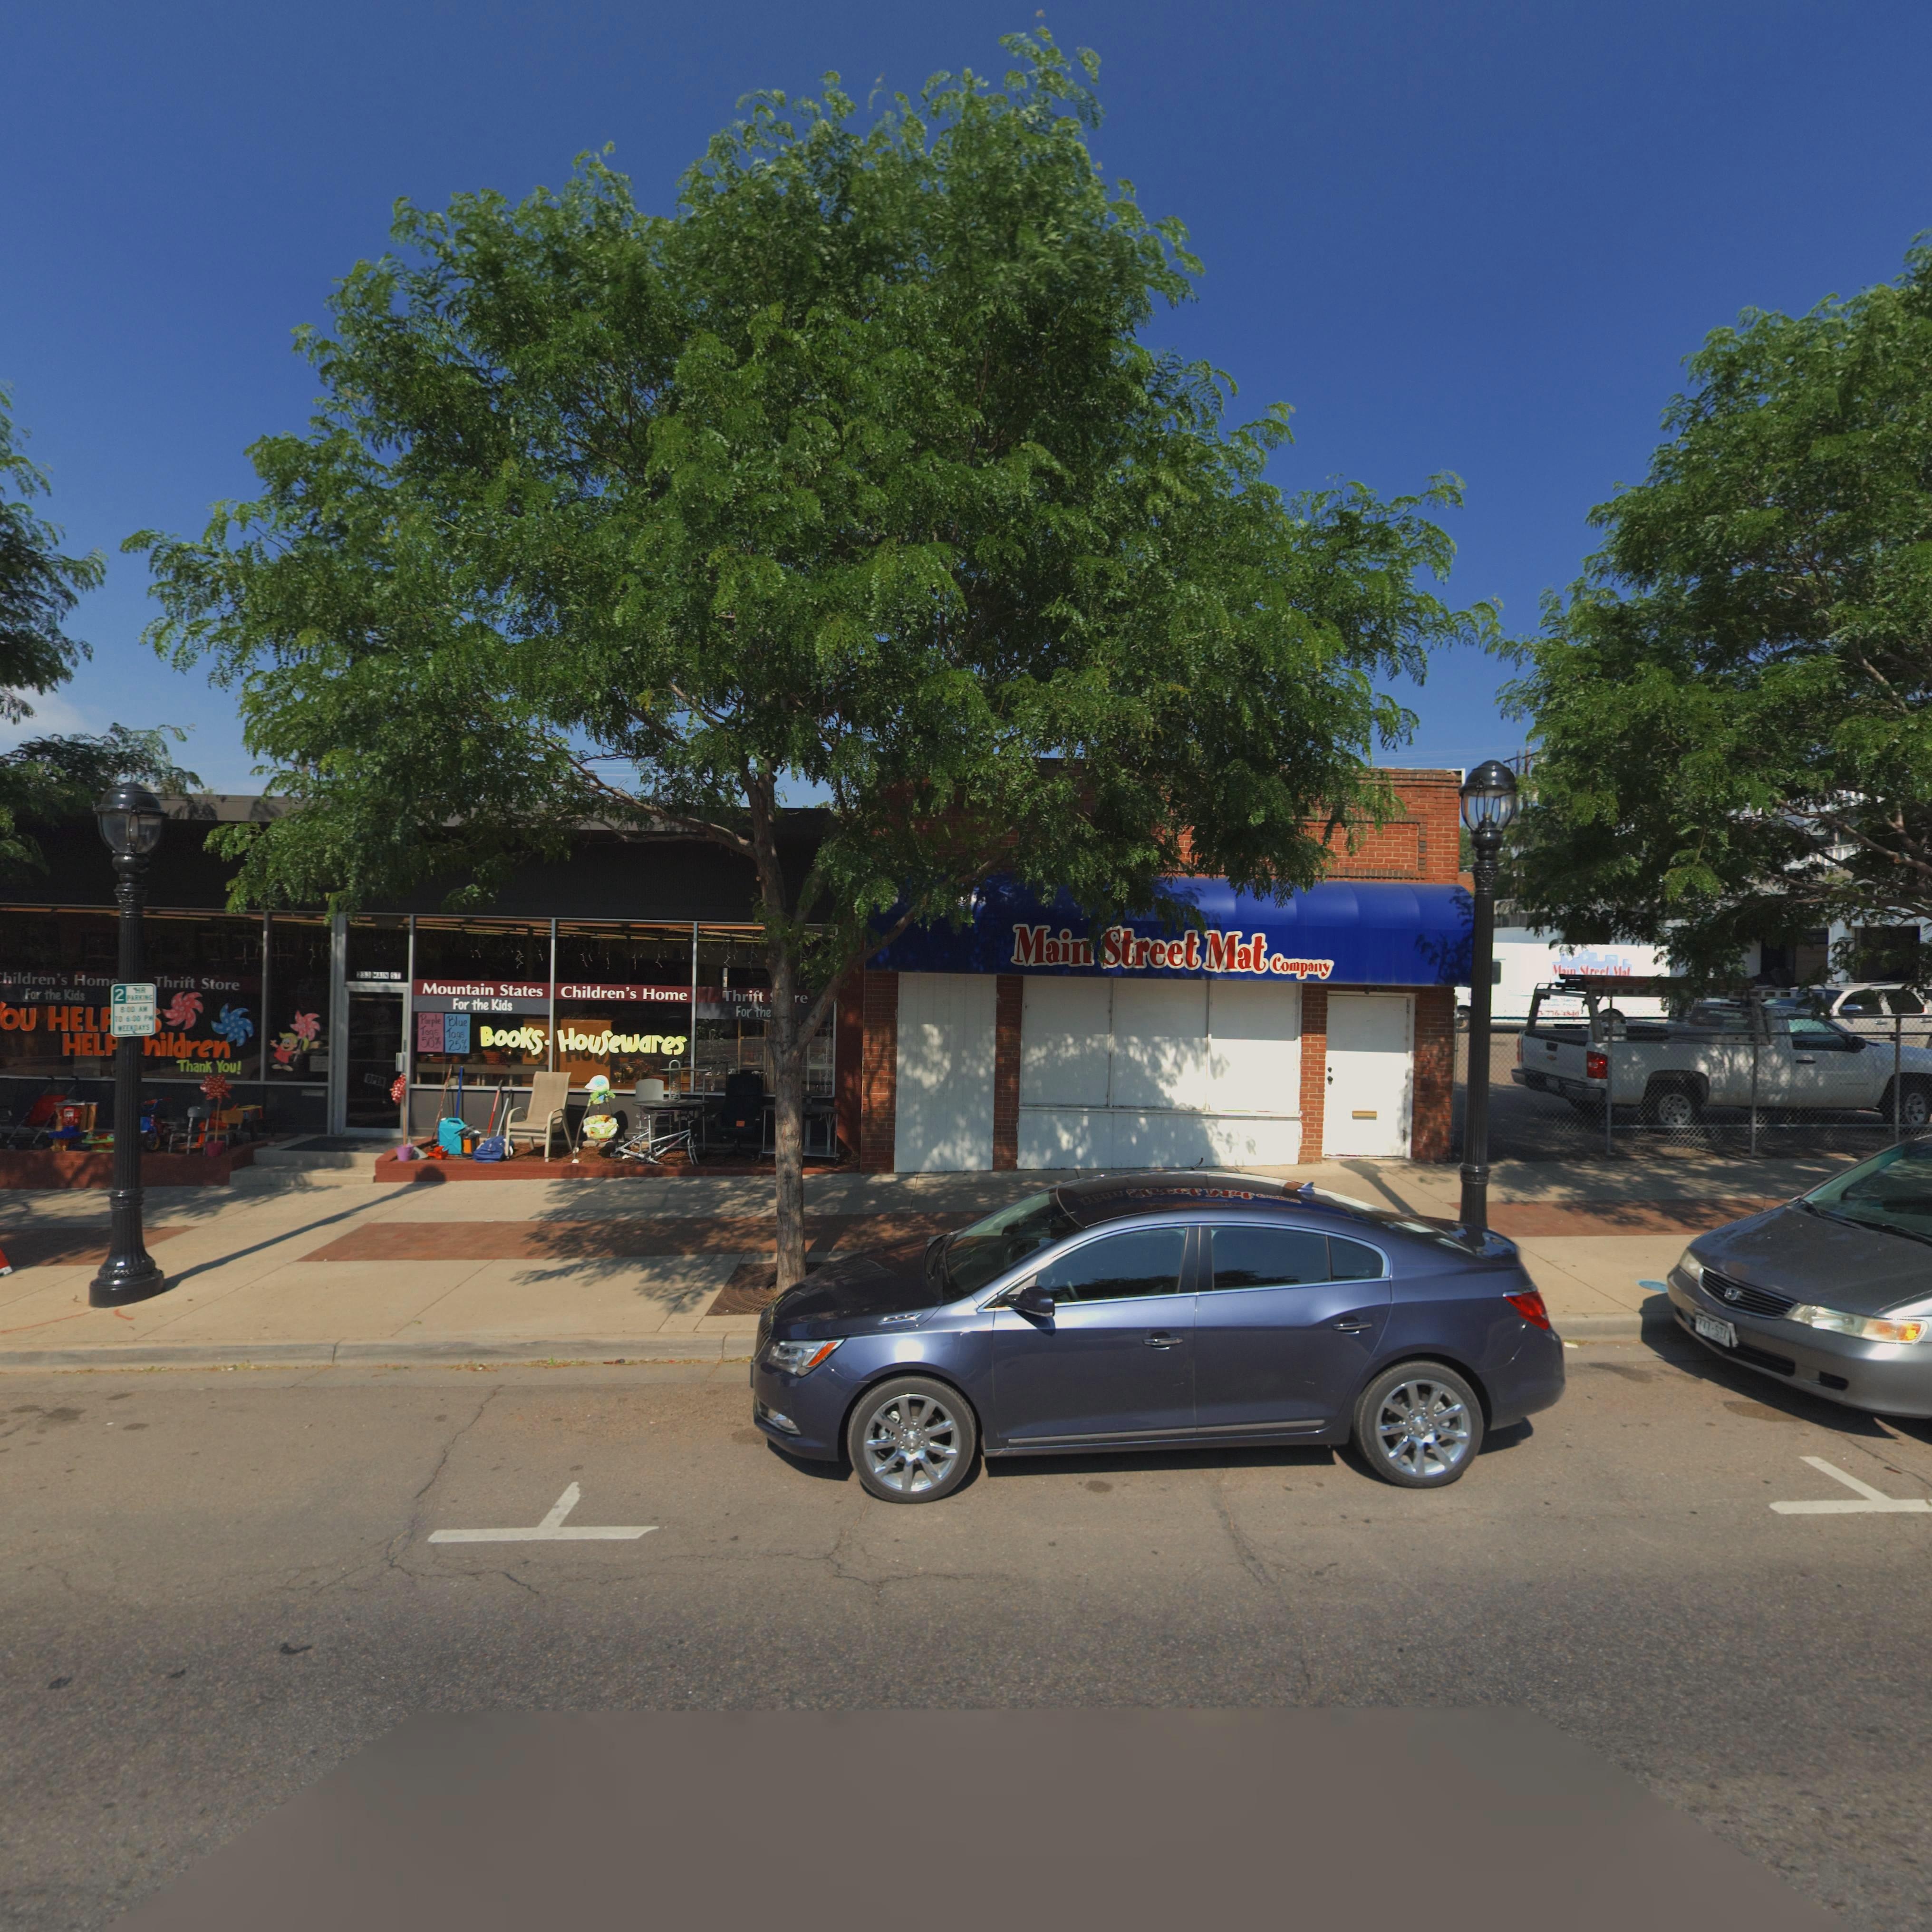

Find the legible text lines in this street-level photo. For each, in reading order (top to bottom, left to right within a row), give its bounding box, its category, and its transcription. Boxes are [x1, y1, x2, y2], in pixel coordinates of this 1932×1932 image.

[1010, 923, 1269, 975] BusinessName: Main Street Mat
[2, 971, 240, 991] BusinessName: hildren's Hom* Thrift Store
[357, 971, 370, 978] StreetNumber: 233
[371, 971, 400, 979] StreetName: MAIN ST
[1268, 952, 1335, 980] BusinessName: Company
[421, 982, 808, 1004] BusinessName: Mountain States Children's Home Thrift ***re